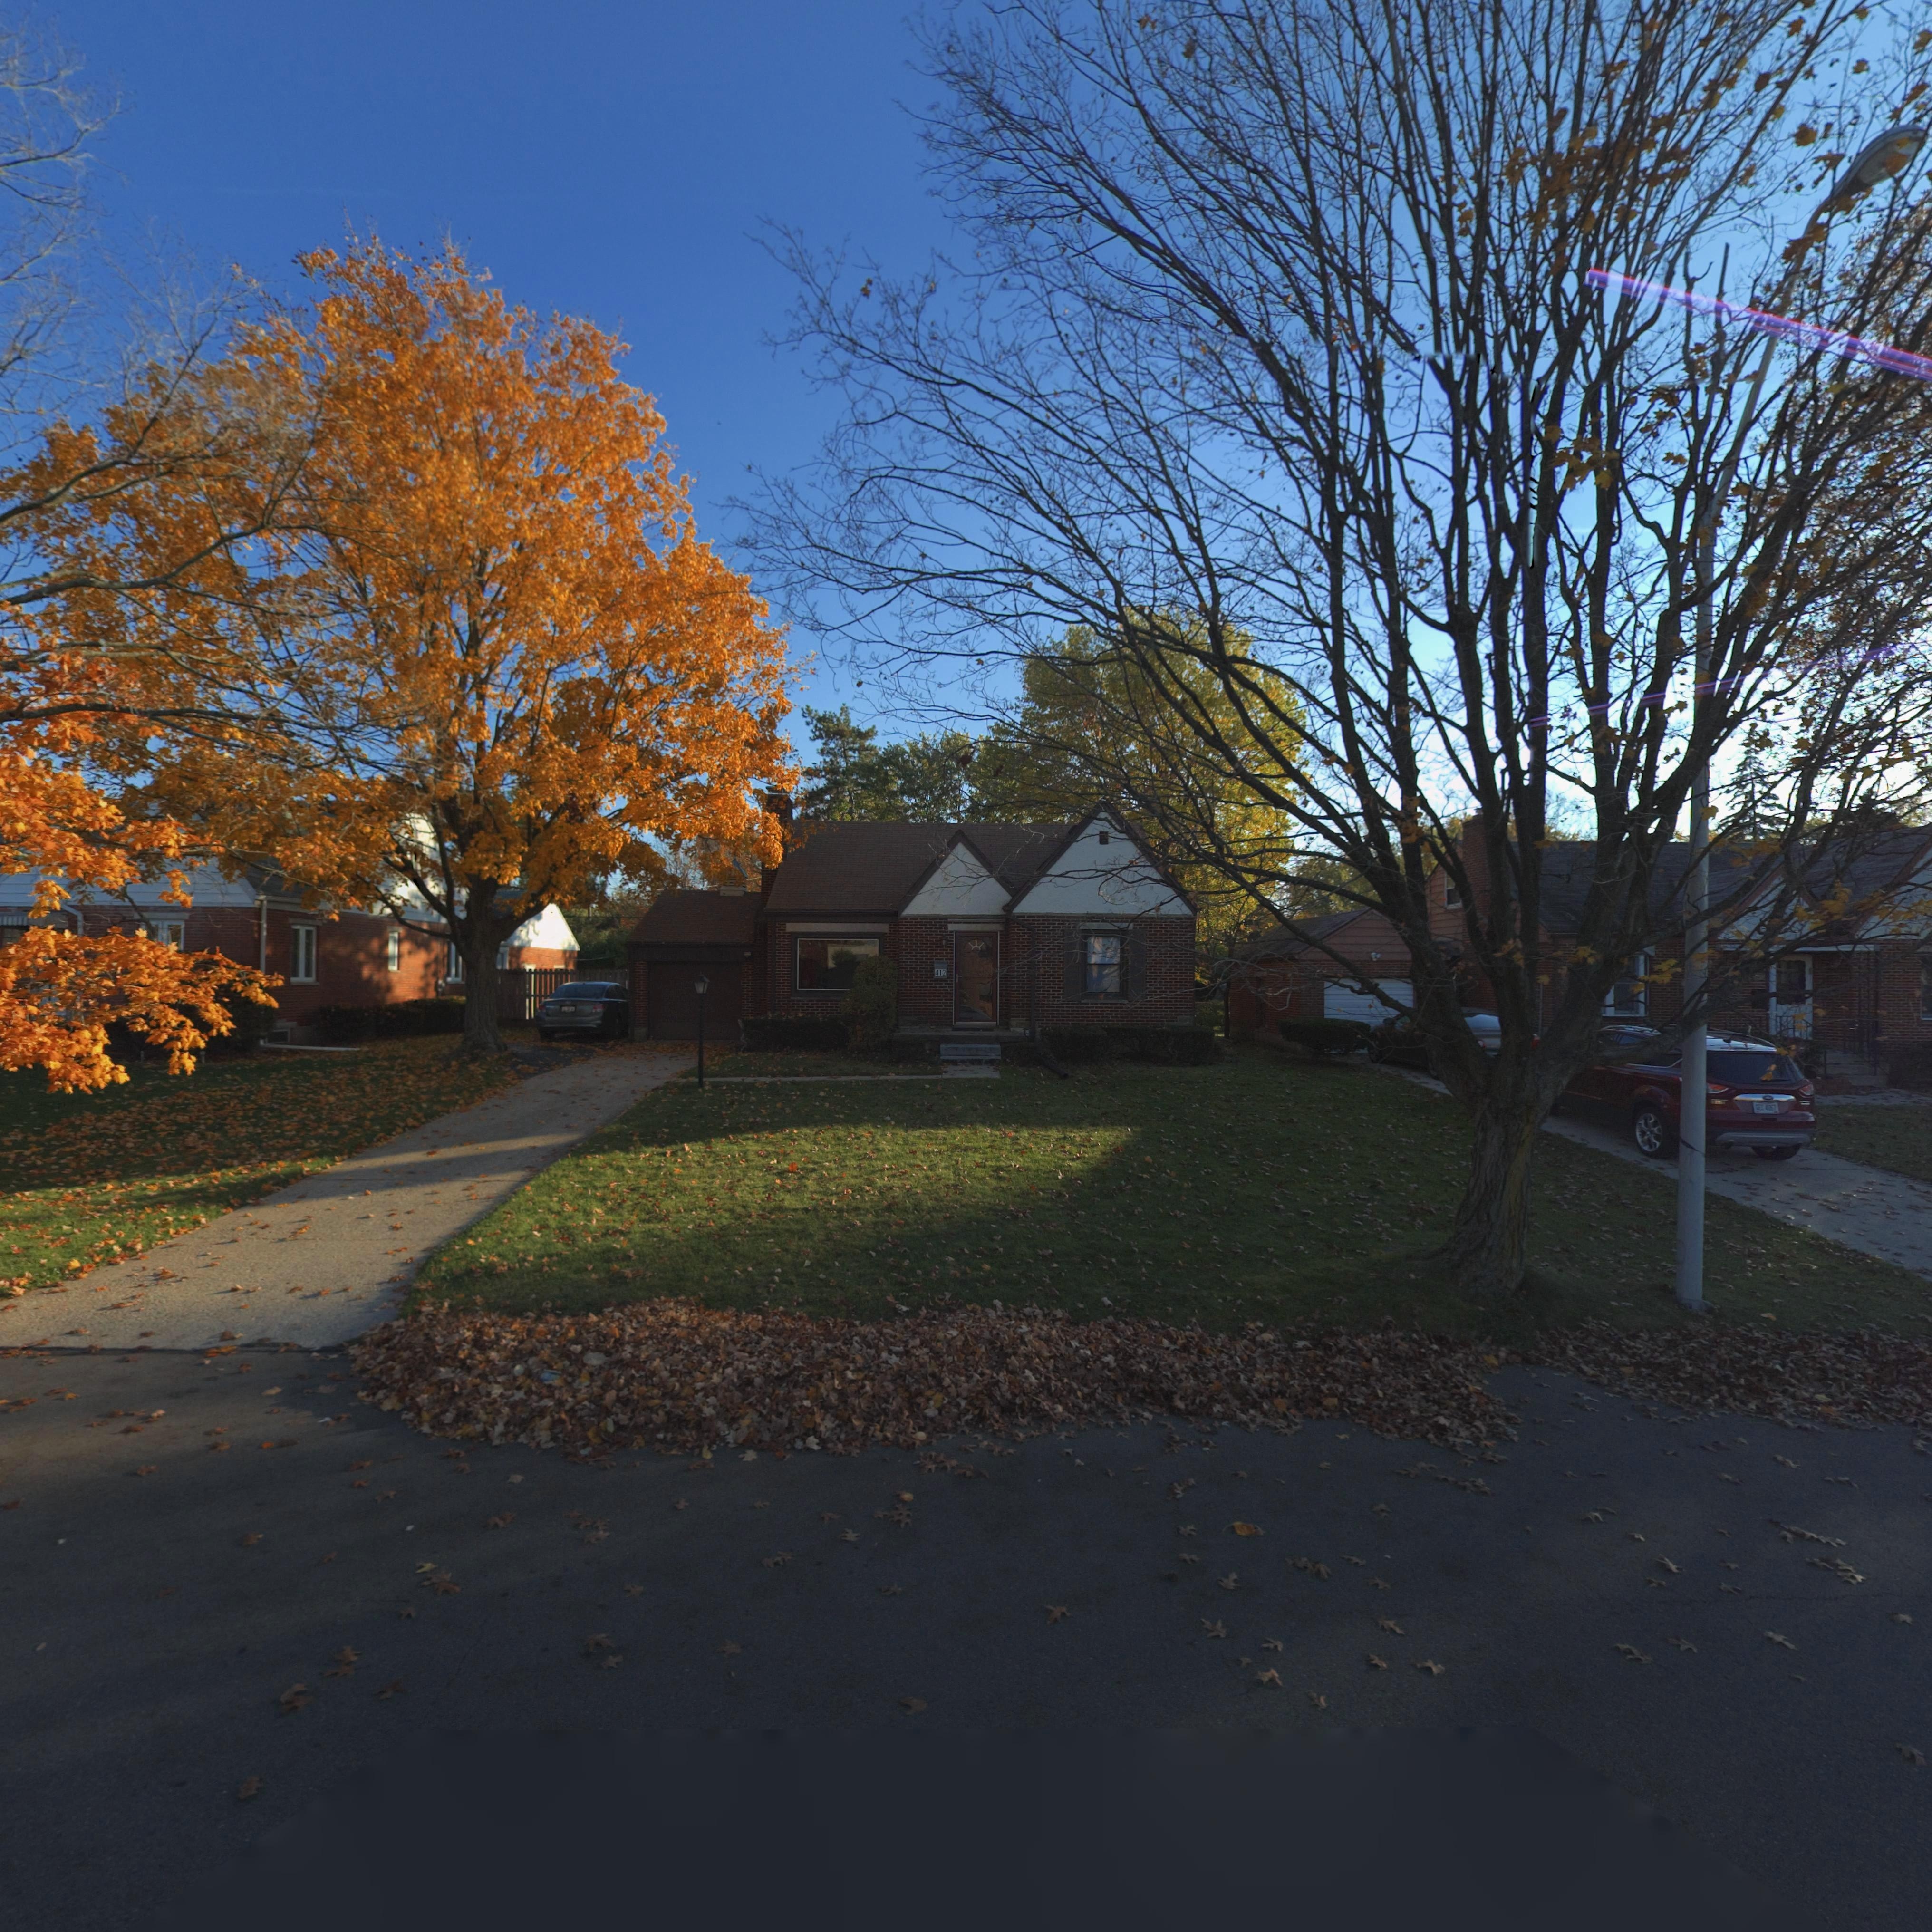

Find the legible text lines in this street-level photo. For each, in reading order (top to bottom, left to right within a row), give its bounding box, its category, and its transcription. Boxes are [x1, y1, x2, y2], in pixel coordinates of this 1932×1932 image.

[934, 968, 947, 976] StreetNumber: 412